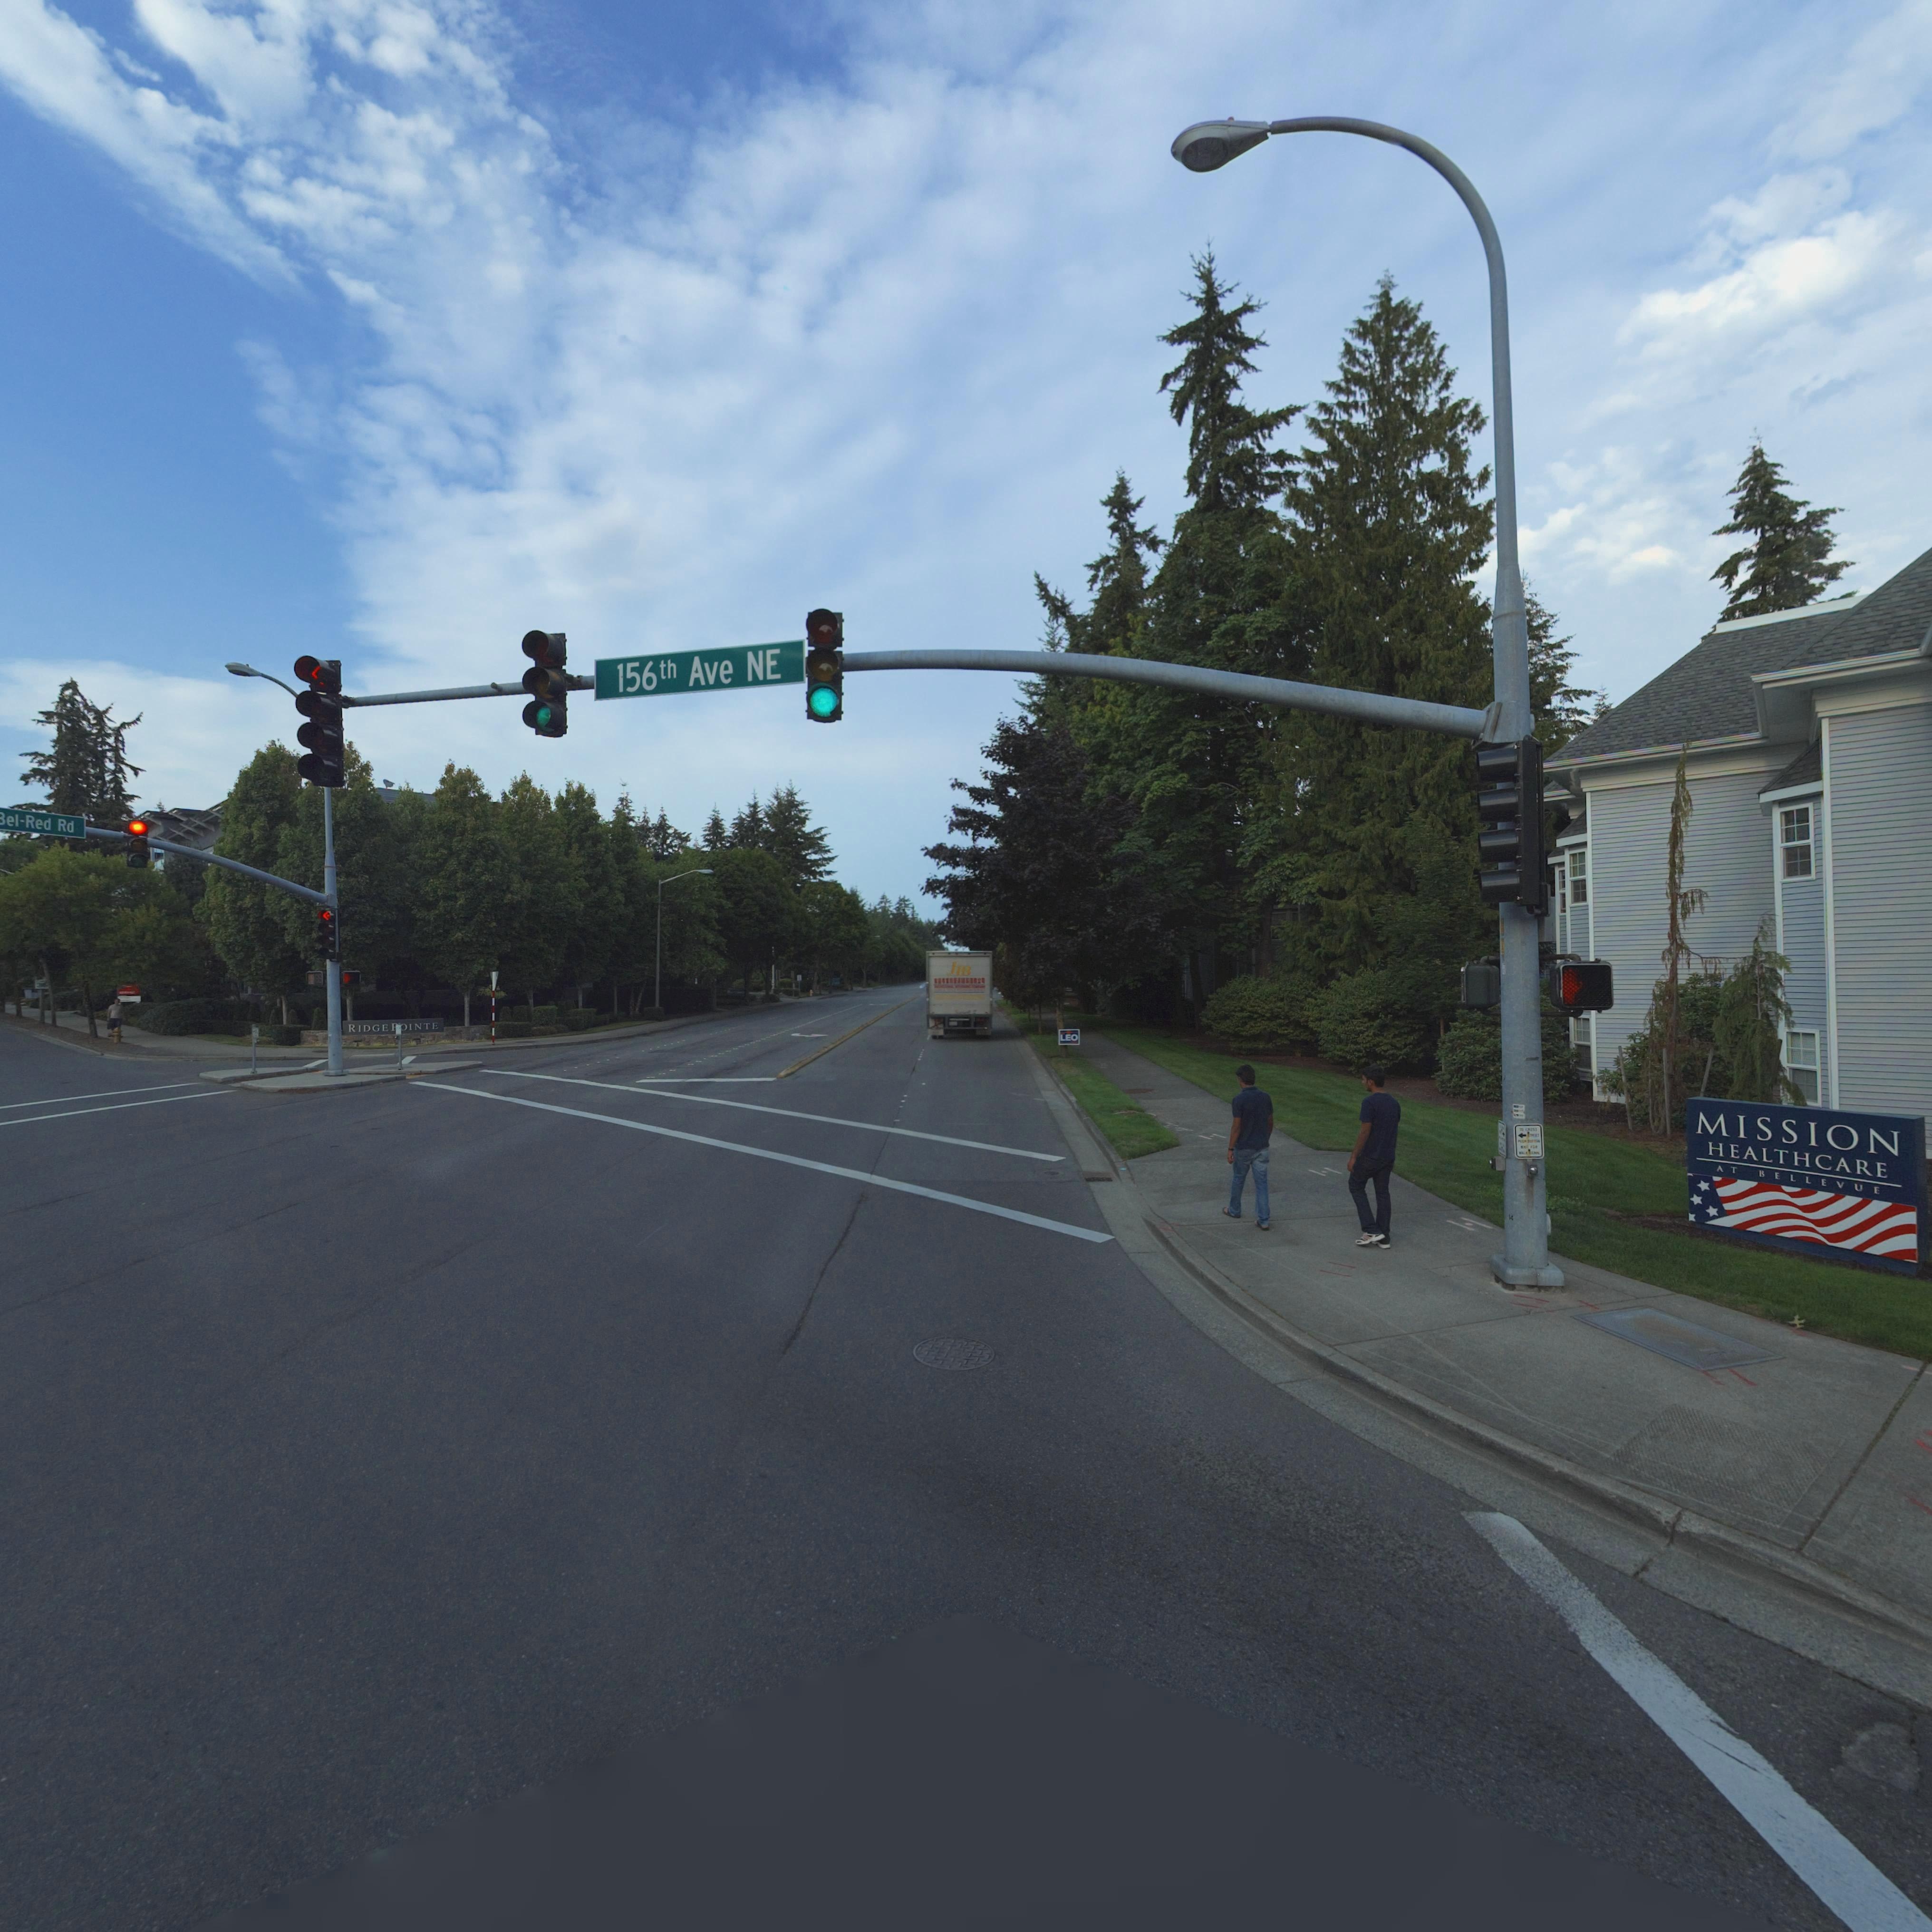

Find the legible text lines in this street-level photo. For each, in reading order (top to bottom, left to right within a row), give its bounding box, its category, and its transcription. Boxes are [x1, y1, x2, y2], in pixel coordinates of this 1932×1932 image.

[611, 647, 786, 696] StreetName: 156** Ave NE
[0, 808, 77, 834] StreetName: Bel-Red Rd
[346, 1023, 389, 1034] None: RIDGE
[391, 1021, 440, 1032] None: POINTE
[1696, 1109, 1906, 1155] BusinessName: MISSION
[1708, 1141, 1887, 1178] BusinessName: HEALTHCARE
[1713, 1163, 1885, 1198] BusinessName: AT BELLEVUE